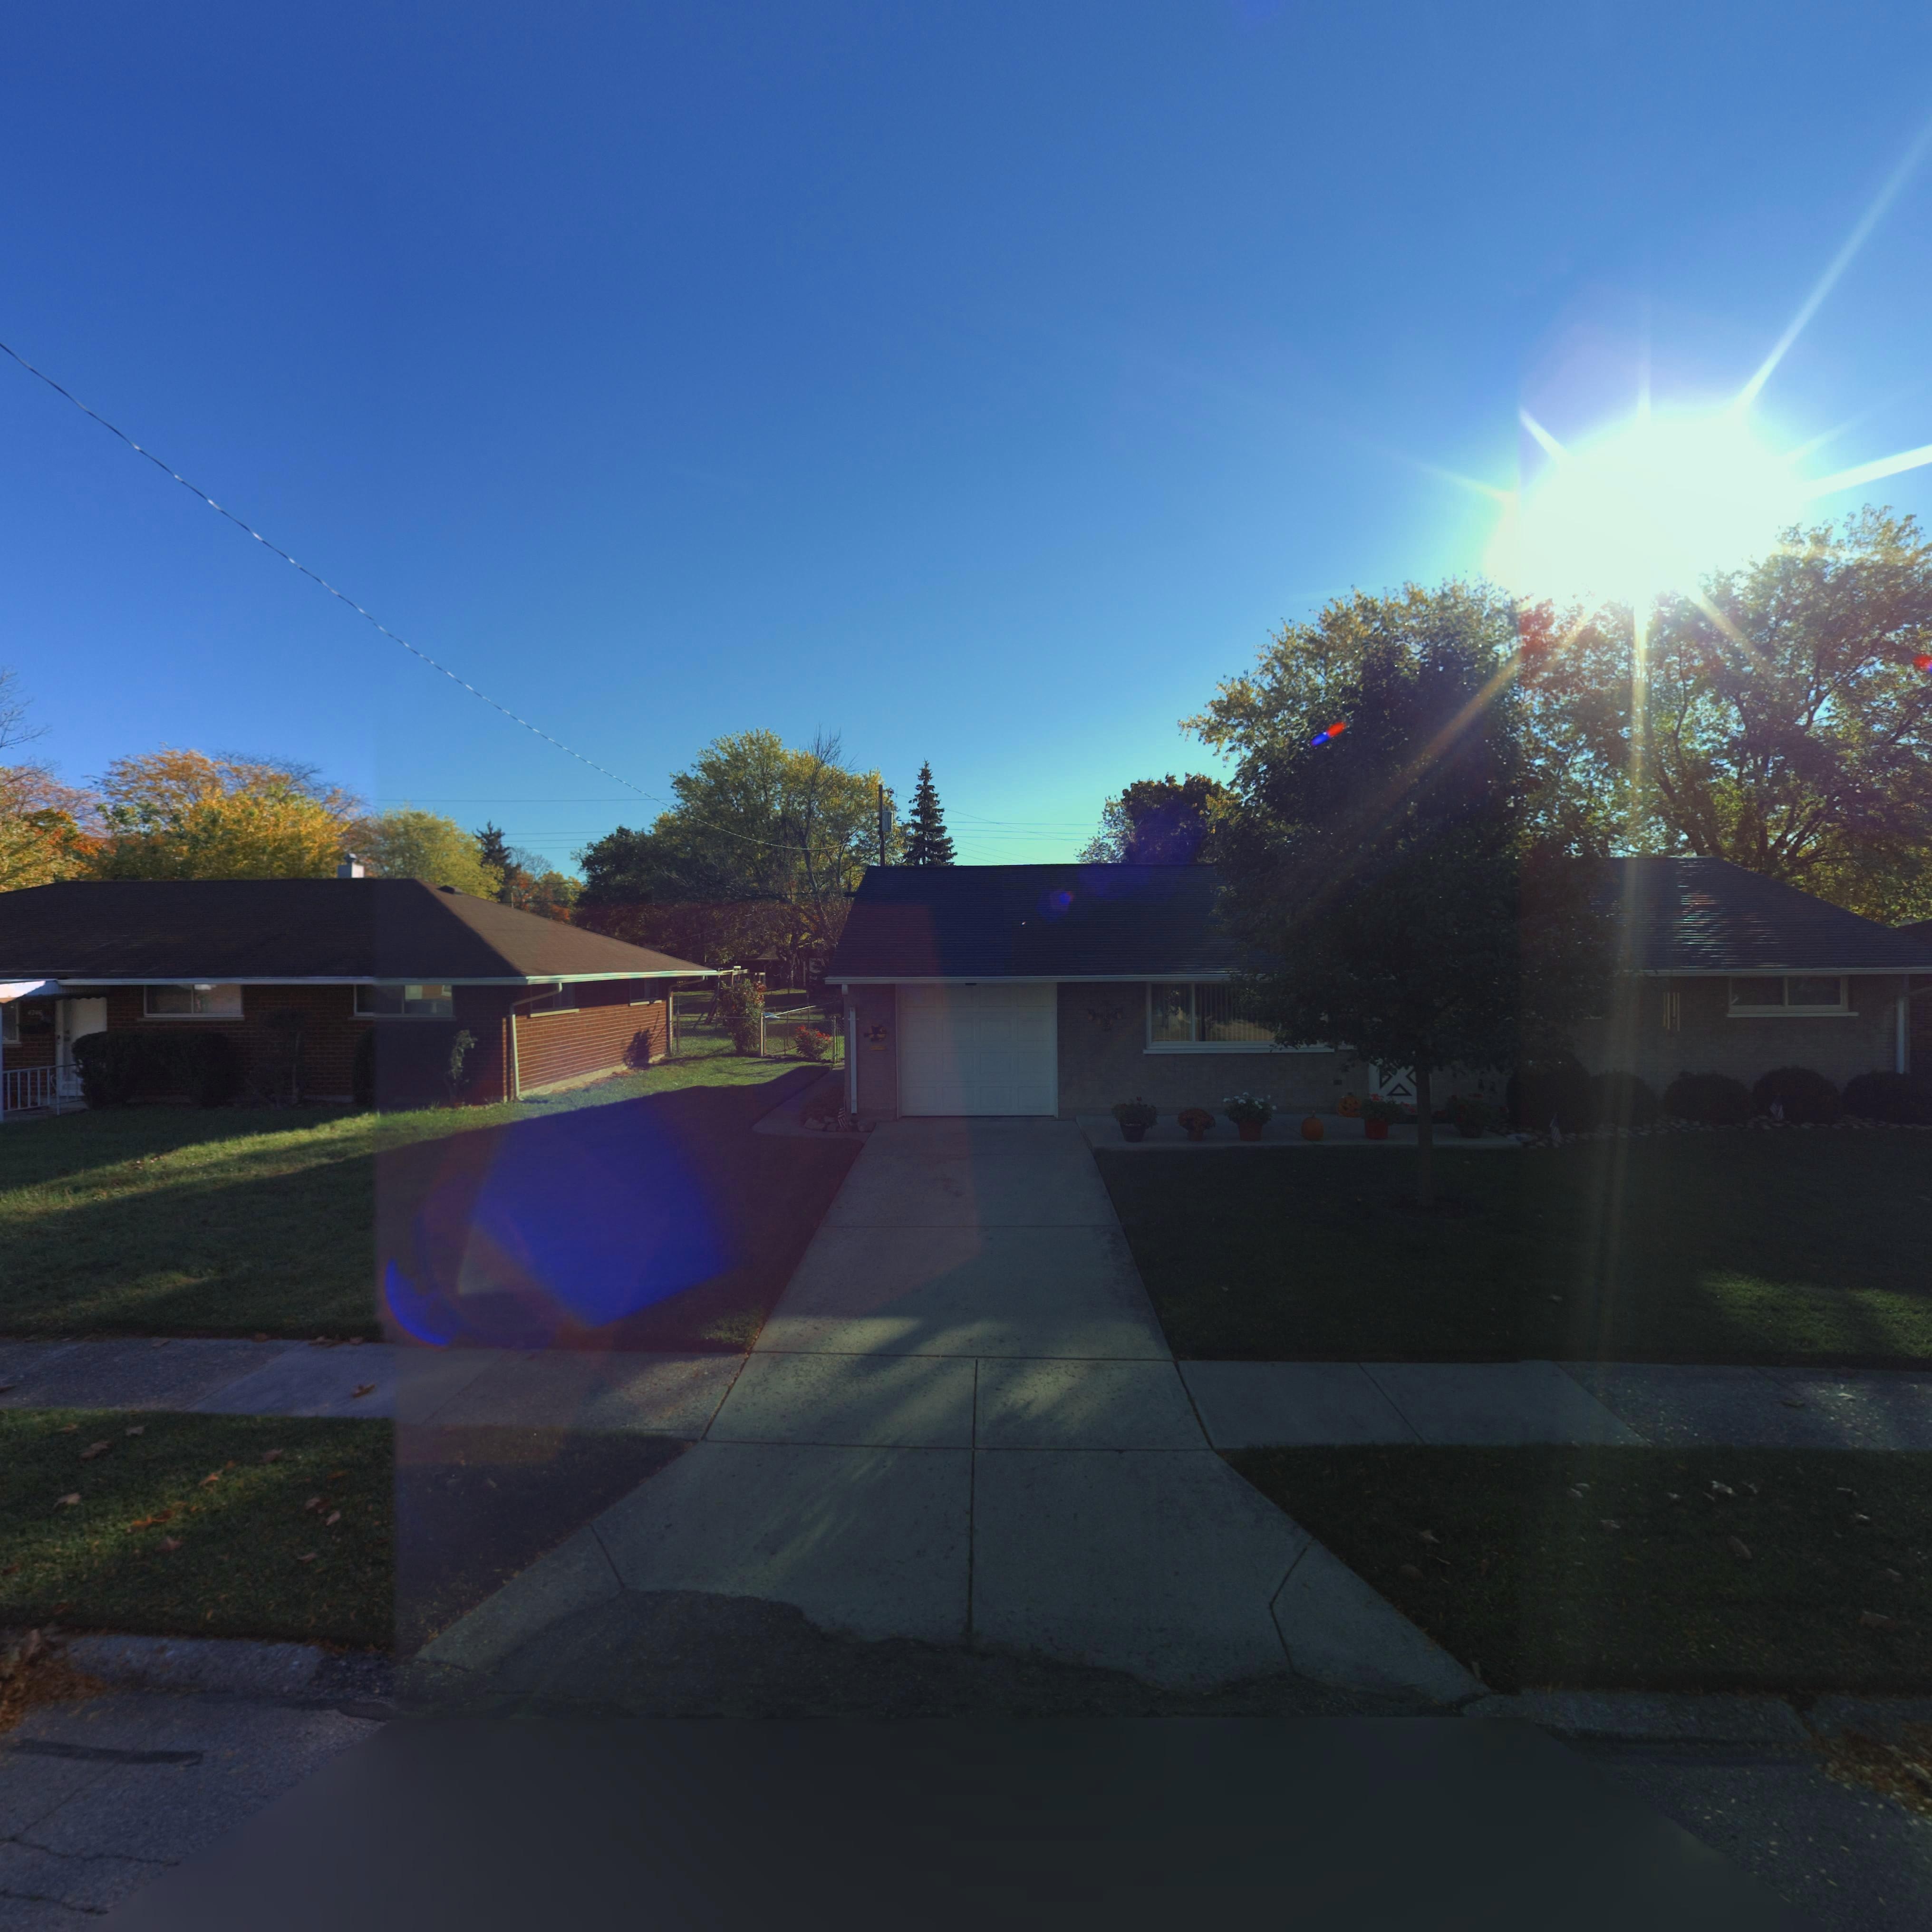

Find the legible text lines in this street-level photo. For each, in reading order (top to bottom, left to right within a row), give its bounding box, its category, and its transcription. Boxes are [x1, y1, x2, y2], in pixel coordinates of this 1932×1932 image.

[27, 1009, 43, 1015] StreetNumber: 4746